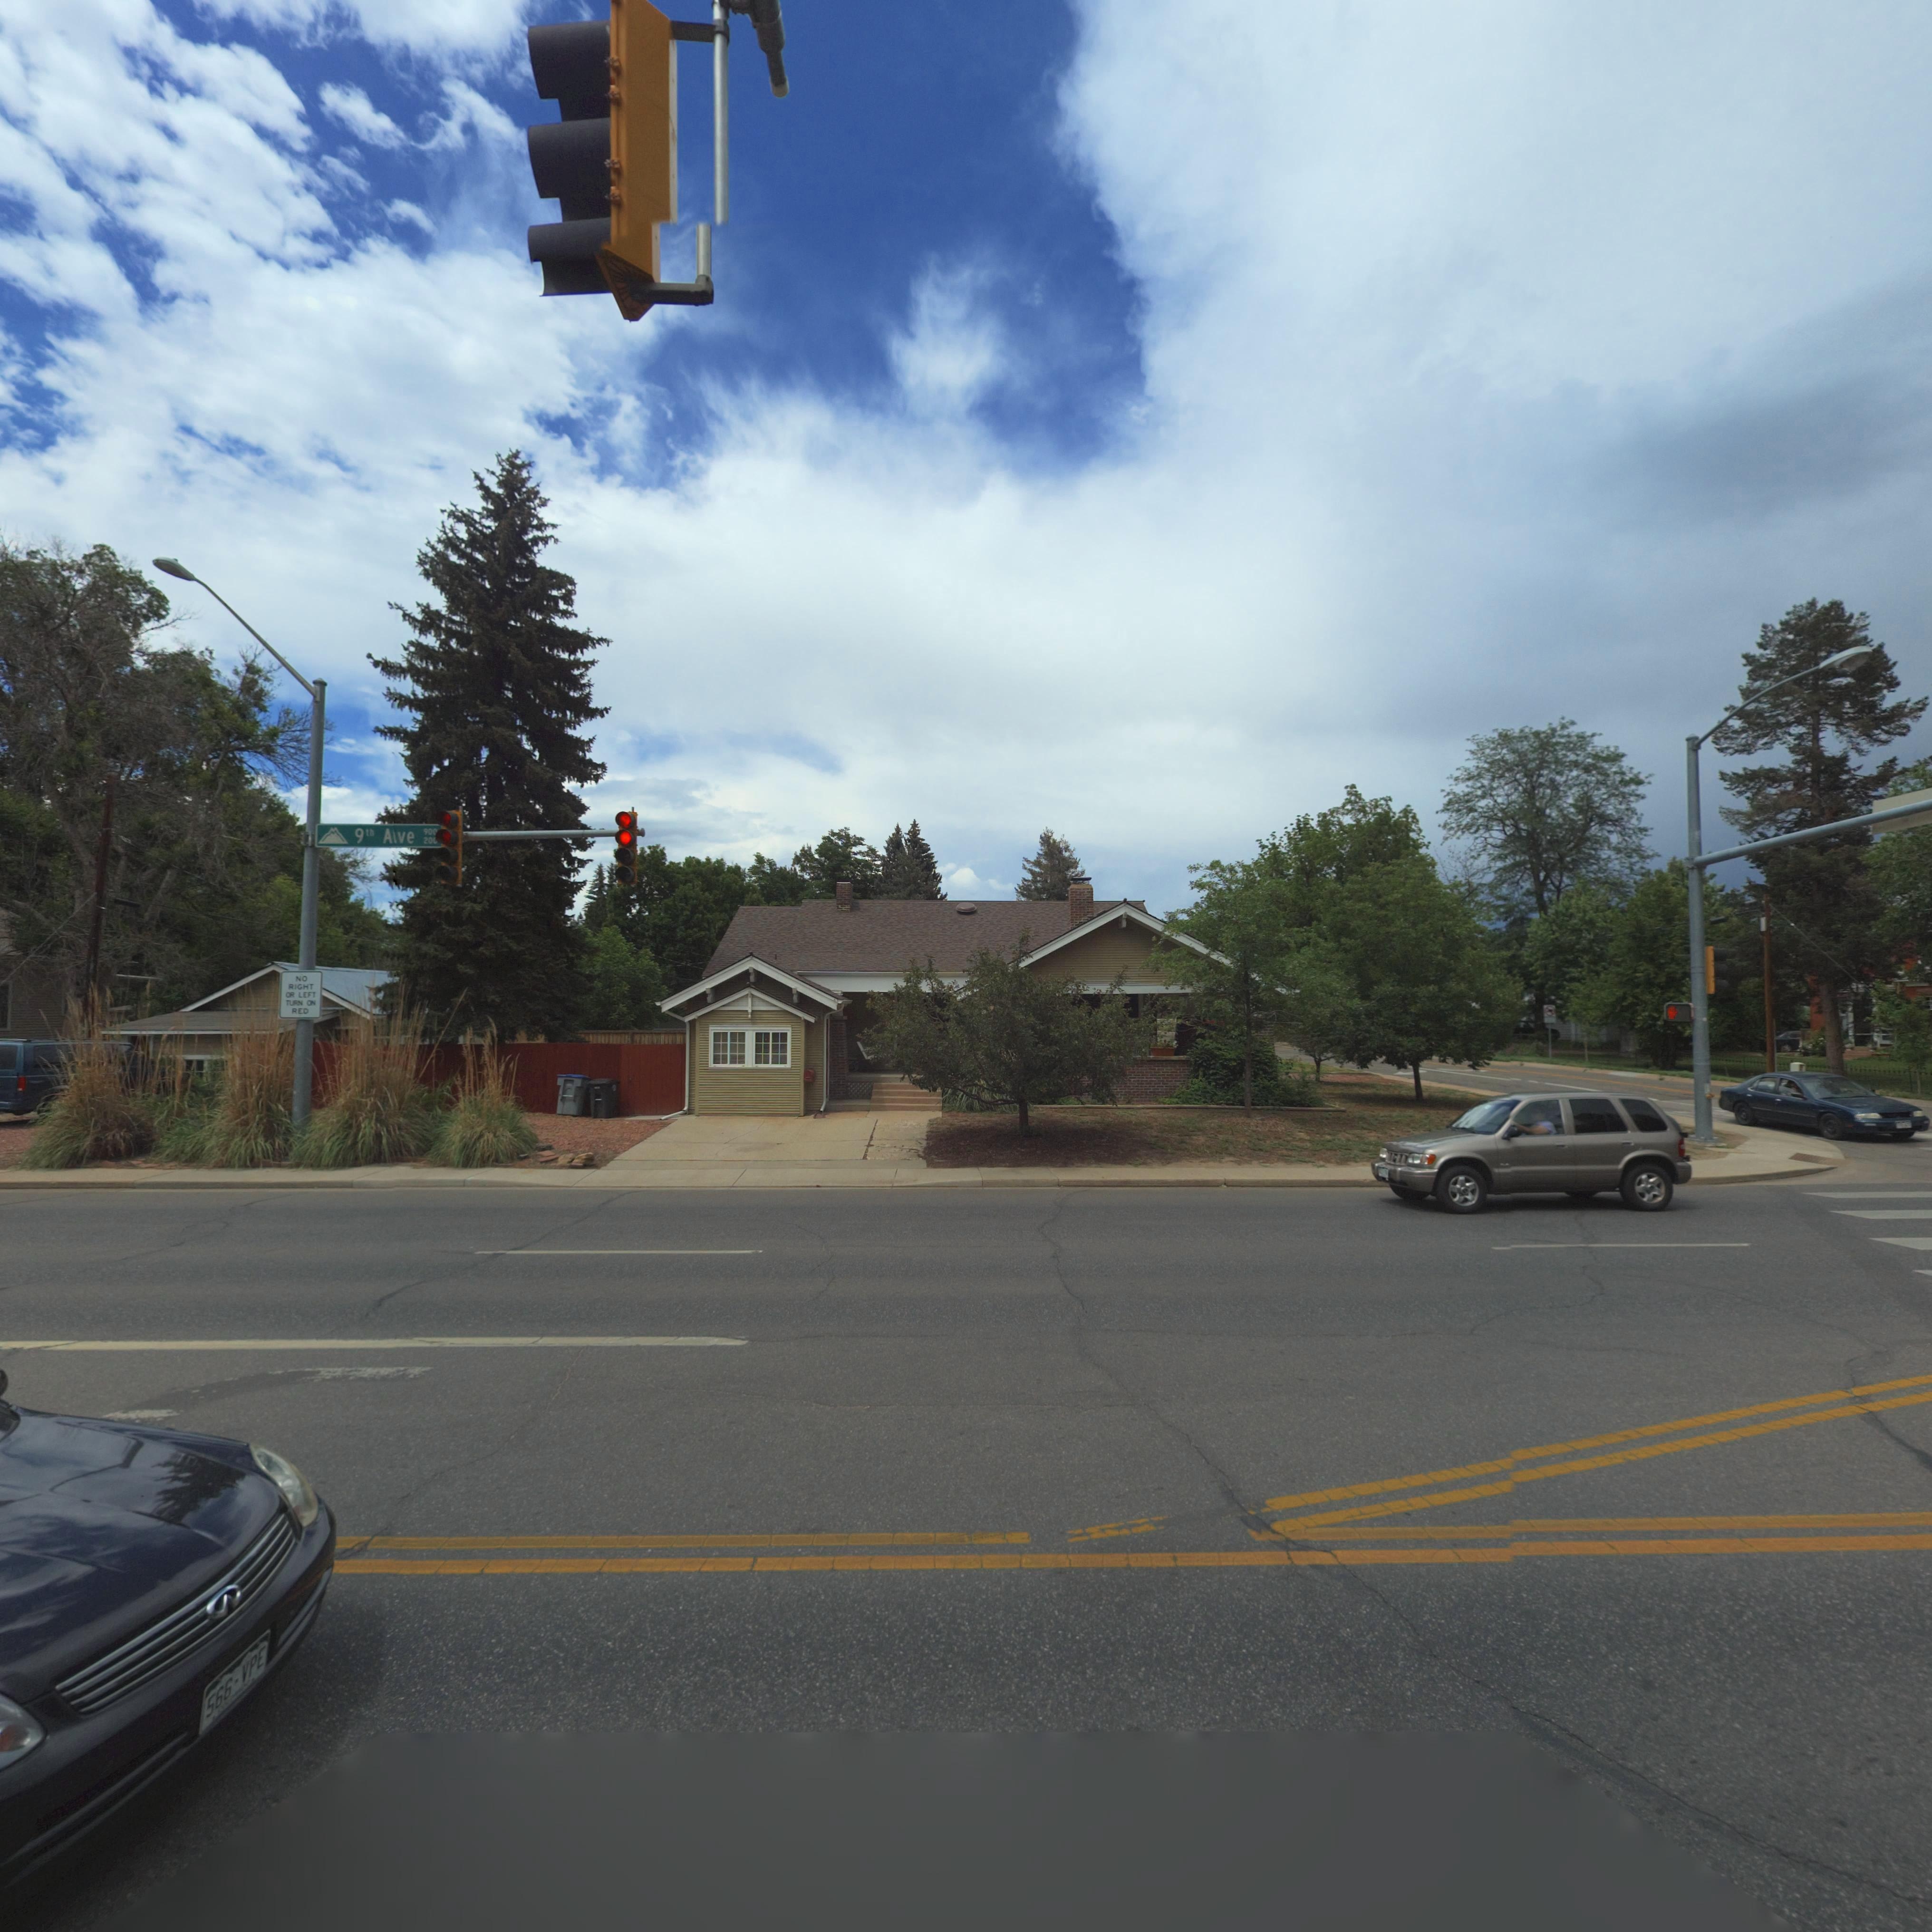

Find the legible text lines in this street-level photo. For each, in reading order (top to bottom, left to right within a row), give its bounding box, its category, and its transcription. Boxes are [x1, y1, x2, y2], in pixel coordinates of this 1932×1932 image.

[354, 827, 415, 844] StreetName: 9th Ave
[423, 827, 438, 835] StreetNumberRange: 900
[423, 836, 437, 844] StreetNumberRange: 200